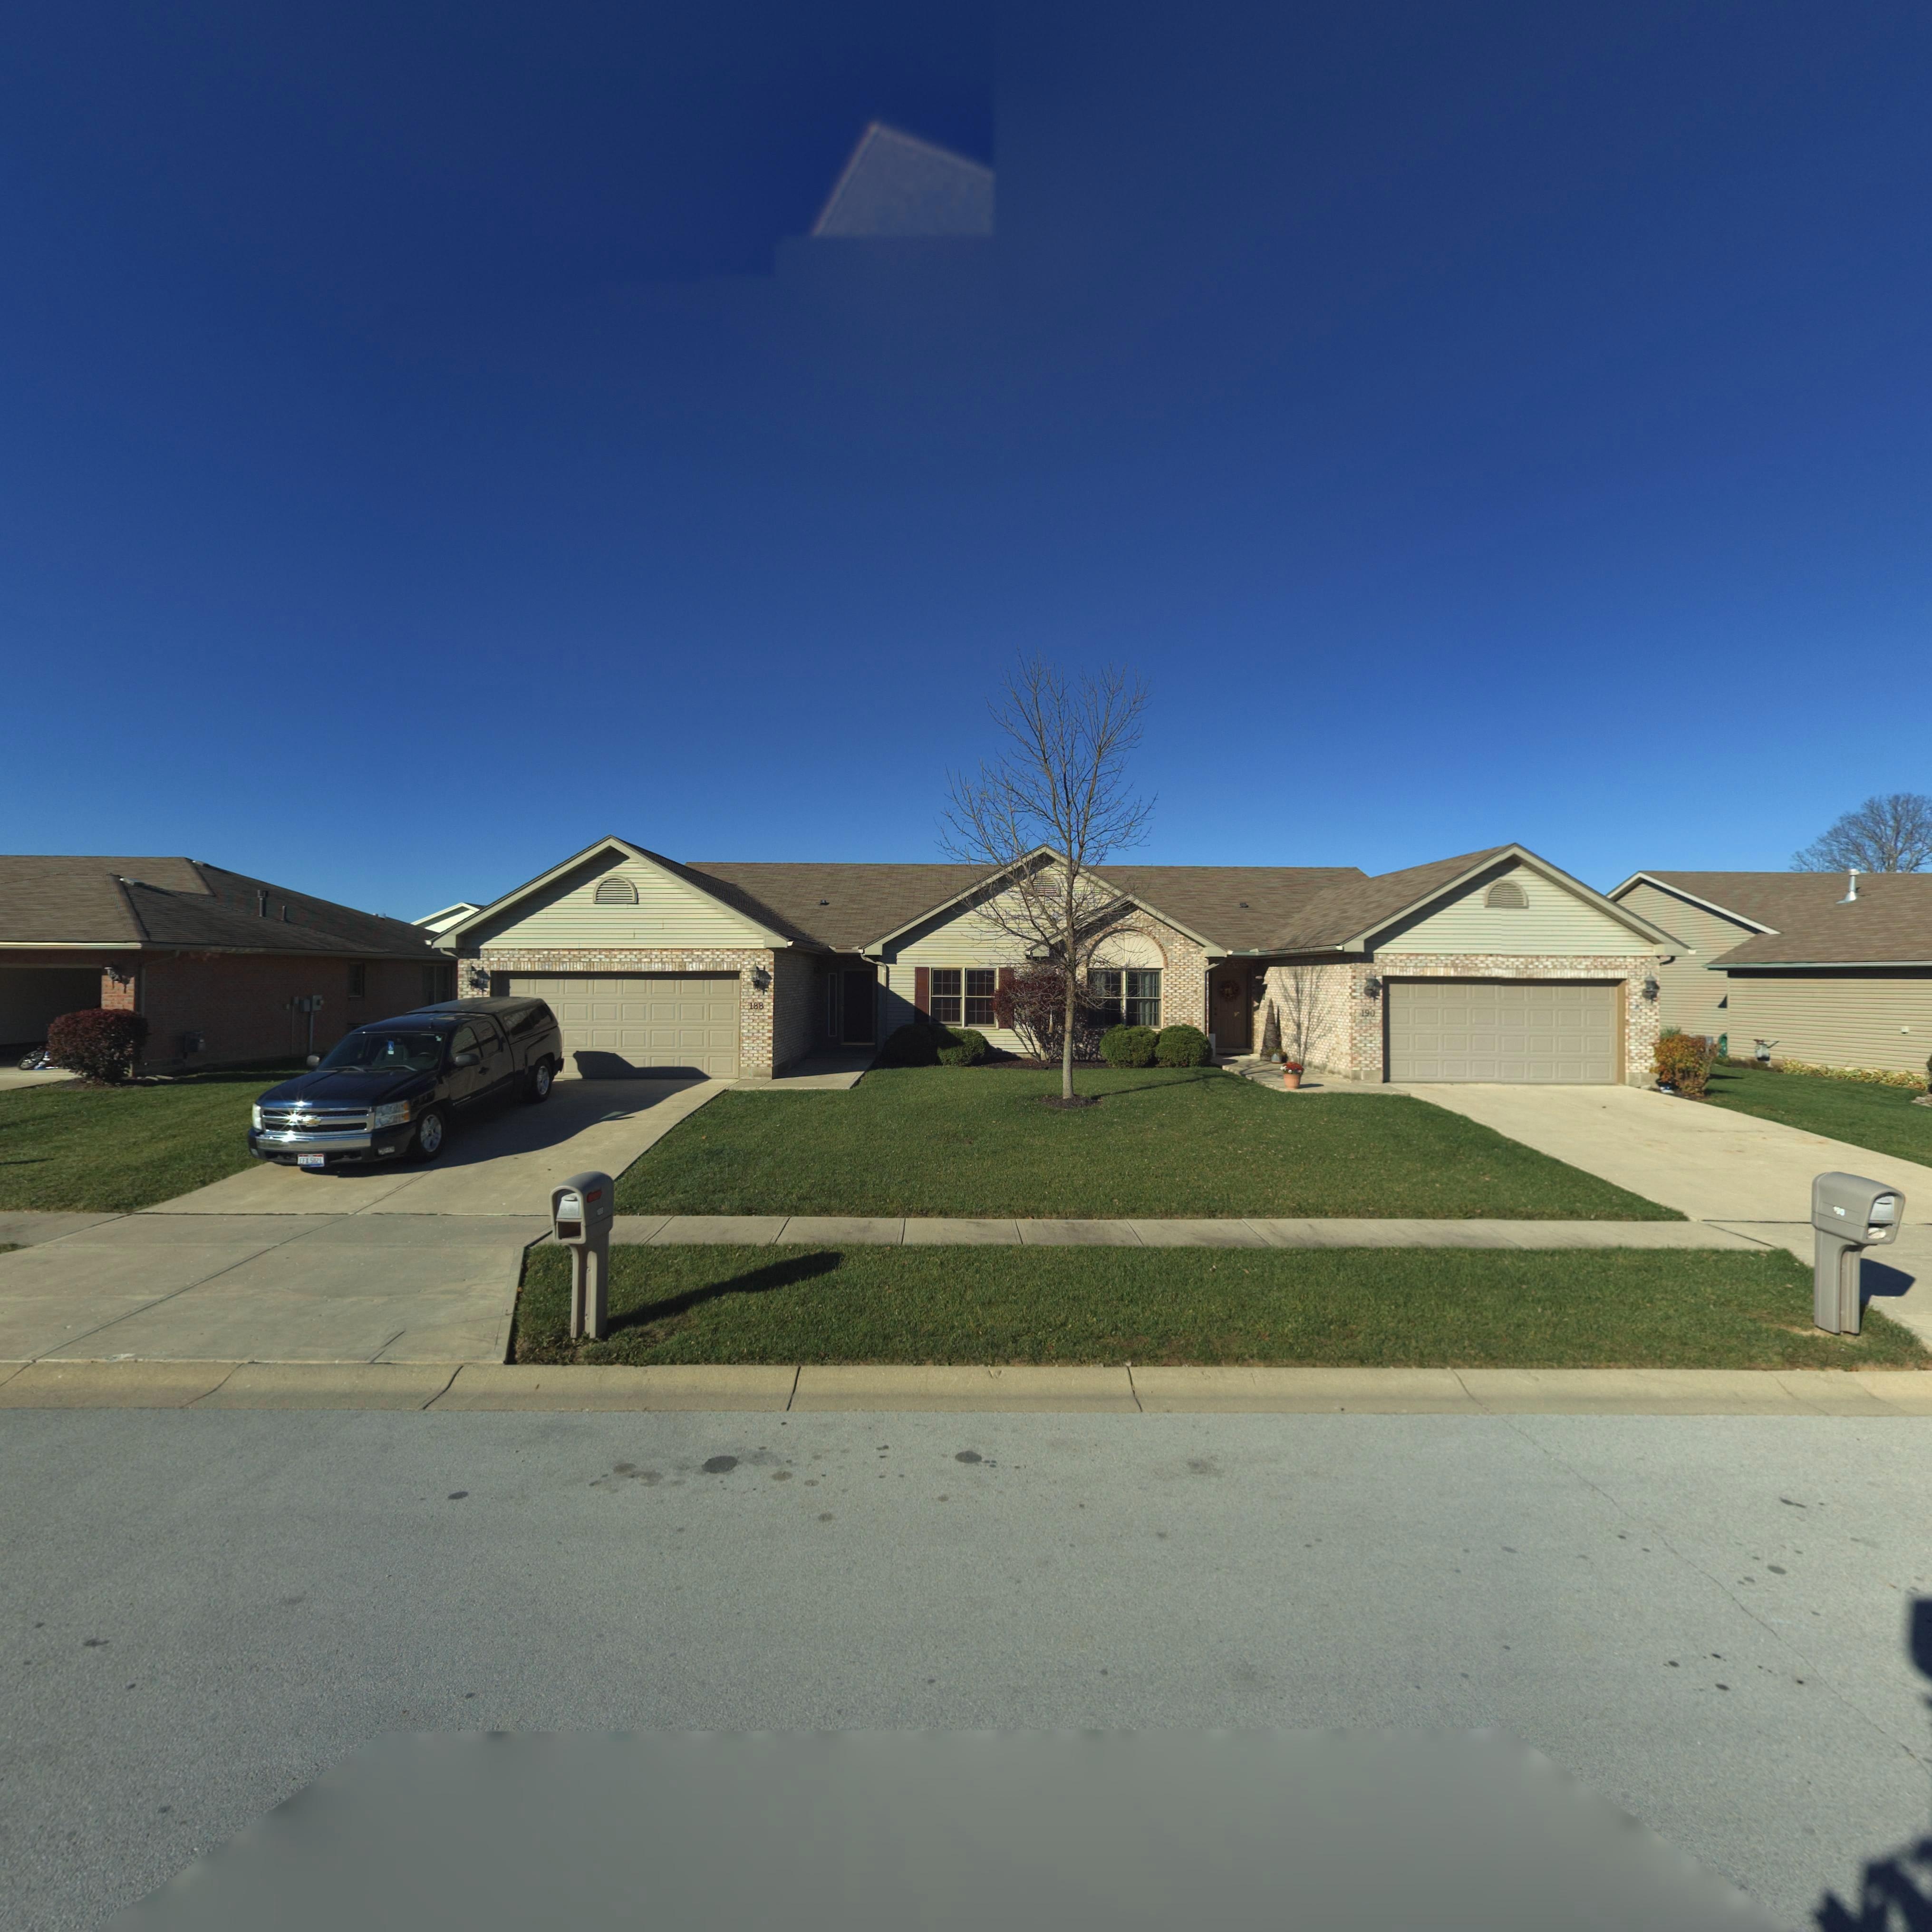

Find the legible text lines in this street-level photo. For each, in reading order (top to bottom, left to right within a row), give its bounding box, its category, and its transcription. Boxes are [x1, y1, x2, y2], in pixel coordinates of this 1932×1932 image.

[749, 1001, 764, 1010] StreetNumber: 188
[1360, 1009, 1376, 1018] StreetNumber: 190